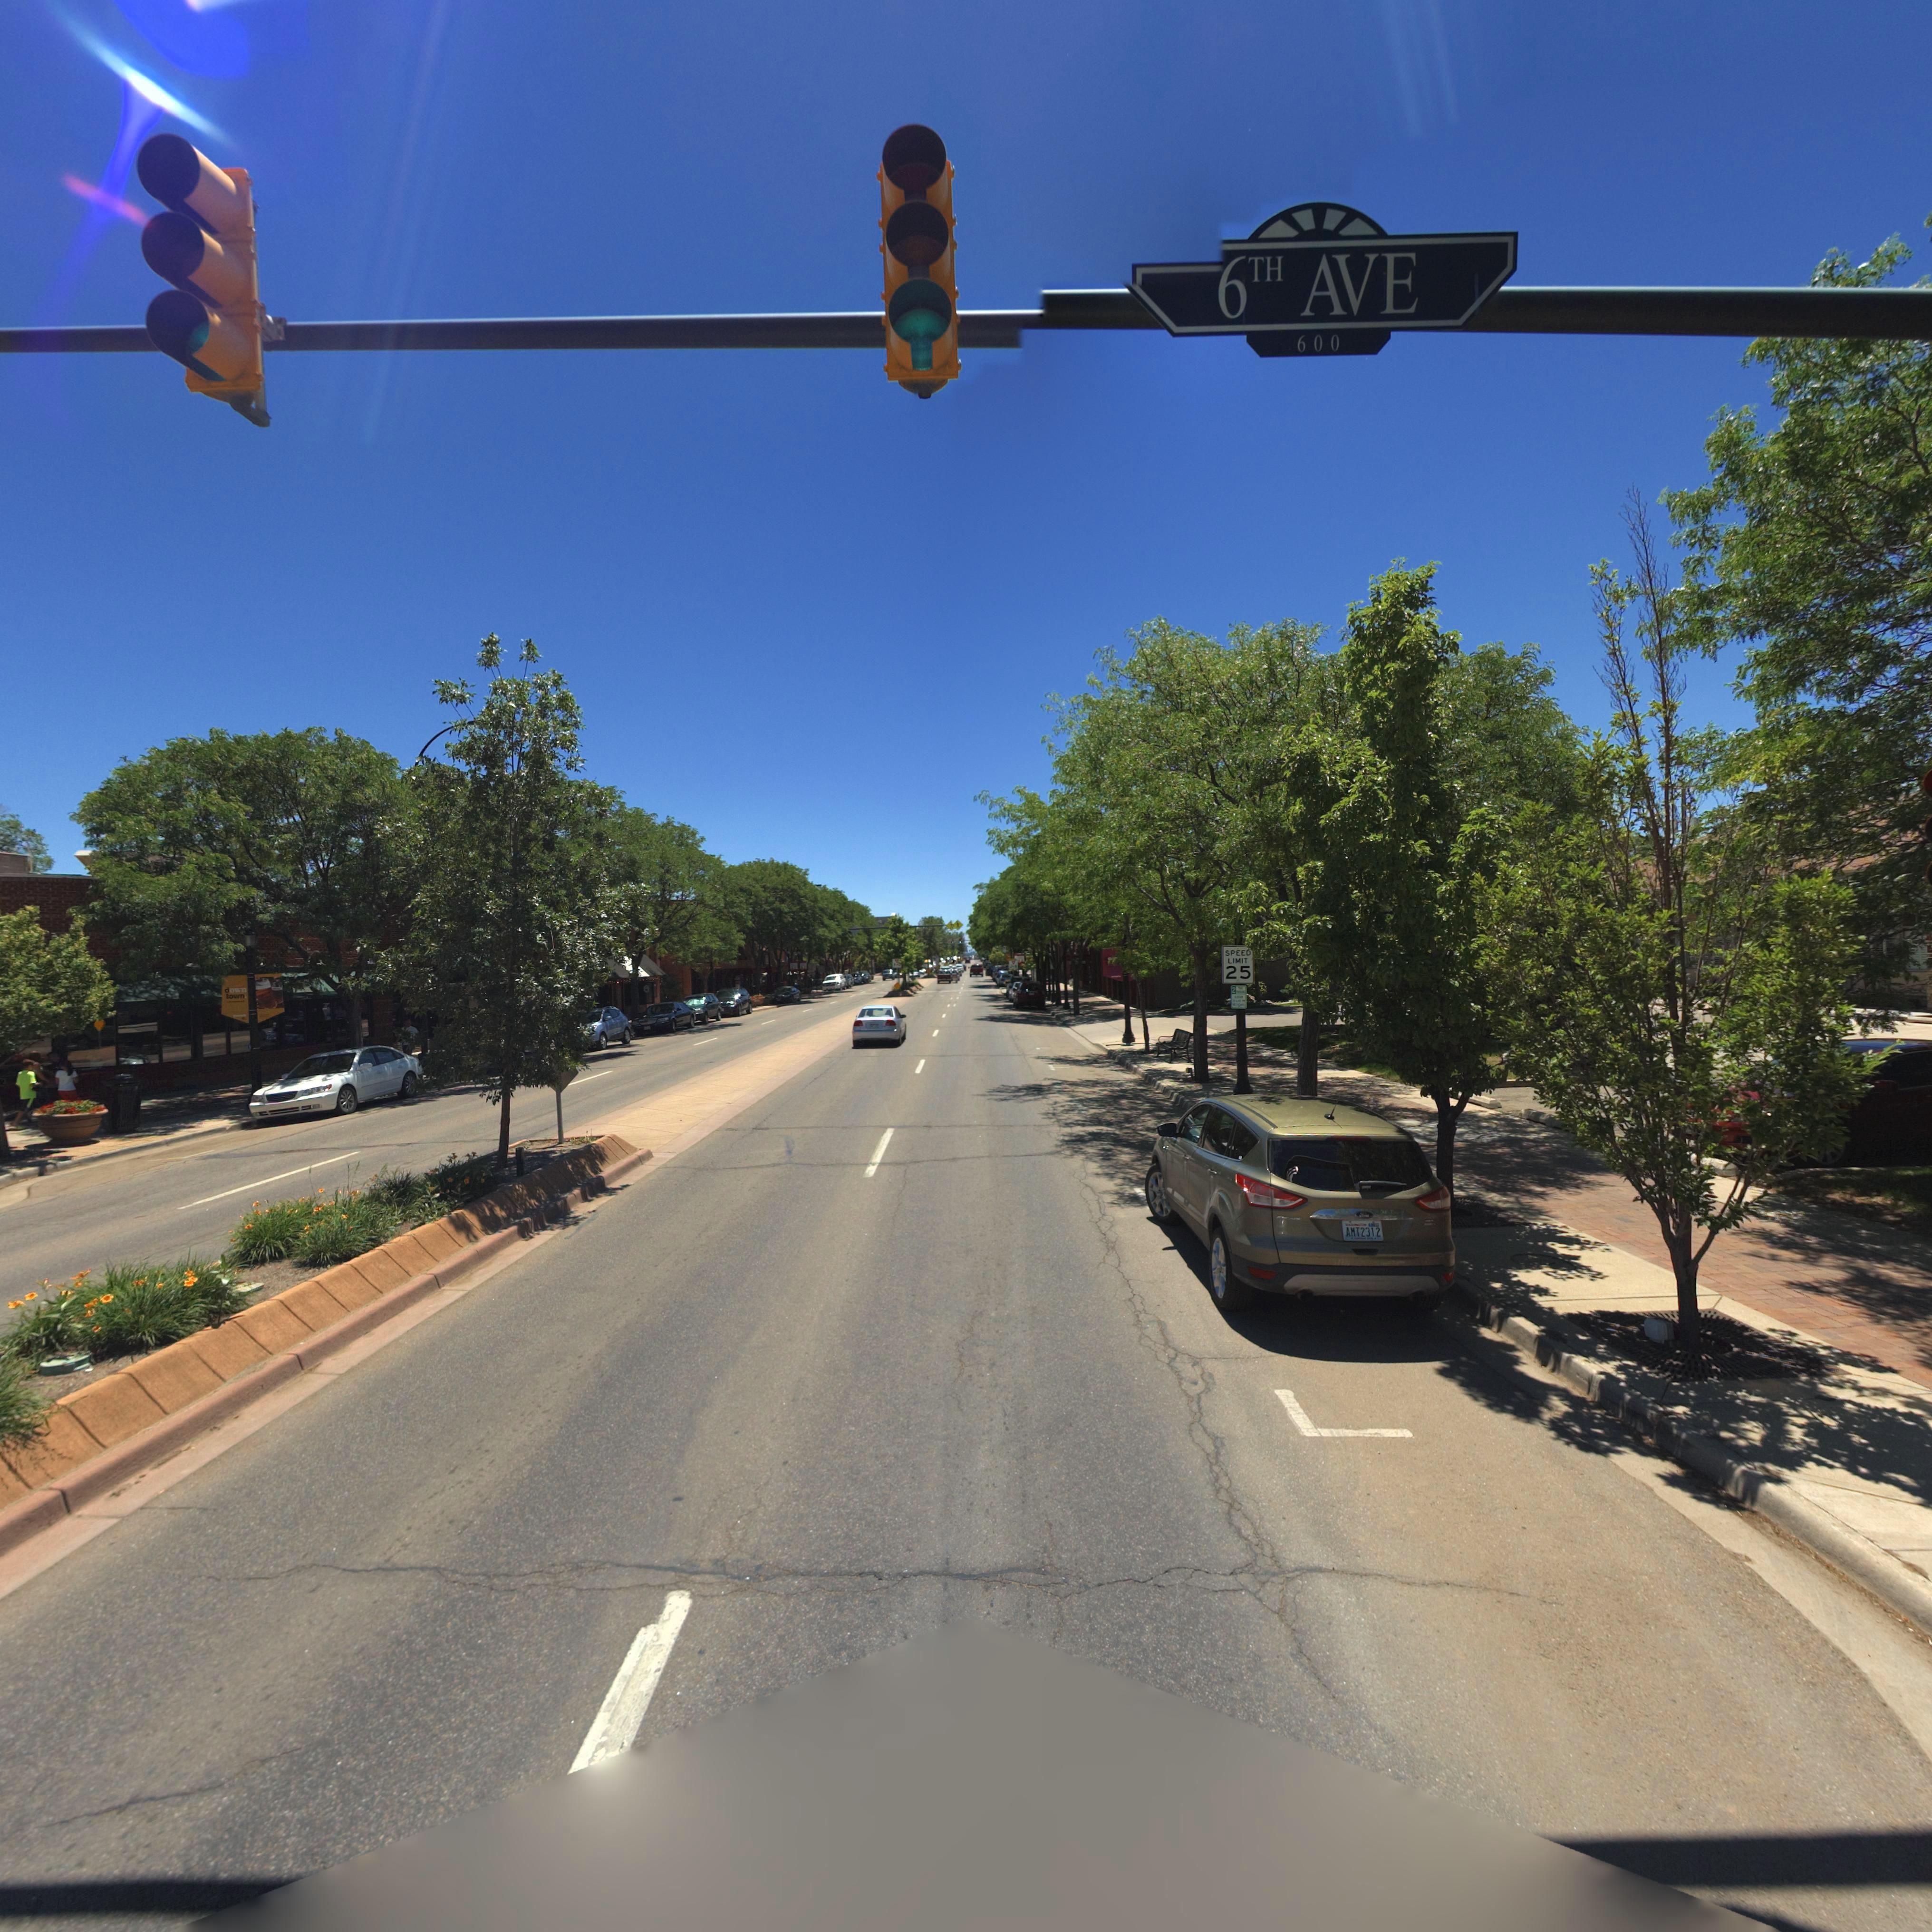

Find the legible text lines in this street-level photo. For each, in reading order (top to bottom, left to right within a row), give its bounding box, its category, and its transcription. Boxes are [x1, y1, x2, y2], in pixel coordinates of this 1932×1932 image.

[1215, 249, 1420, 320] StreetName: 6TH AVE
[1297, 333, 1340, 354] StreetNumberRange: 600